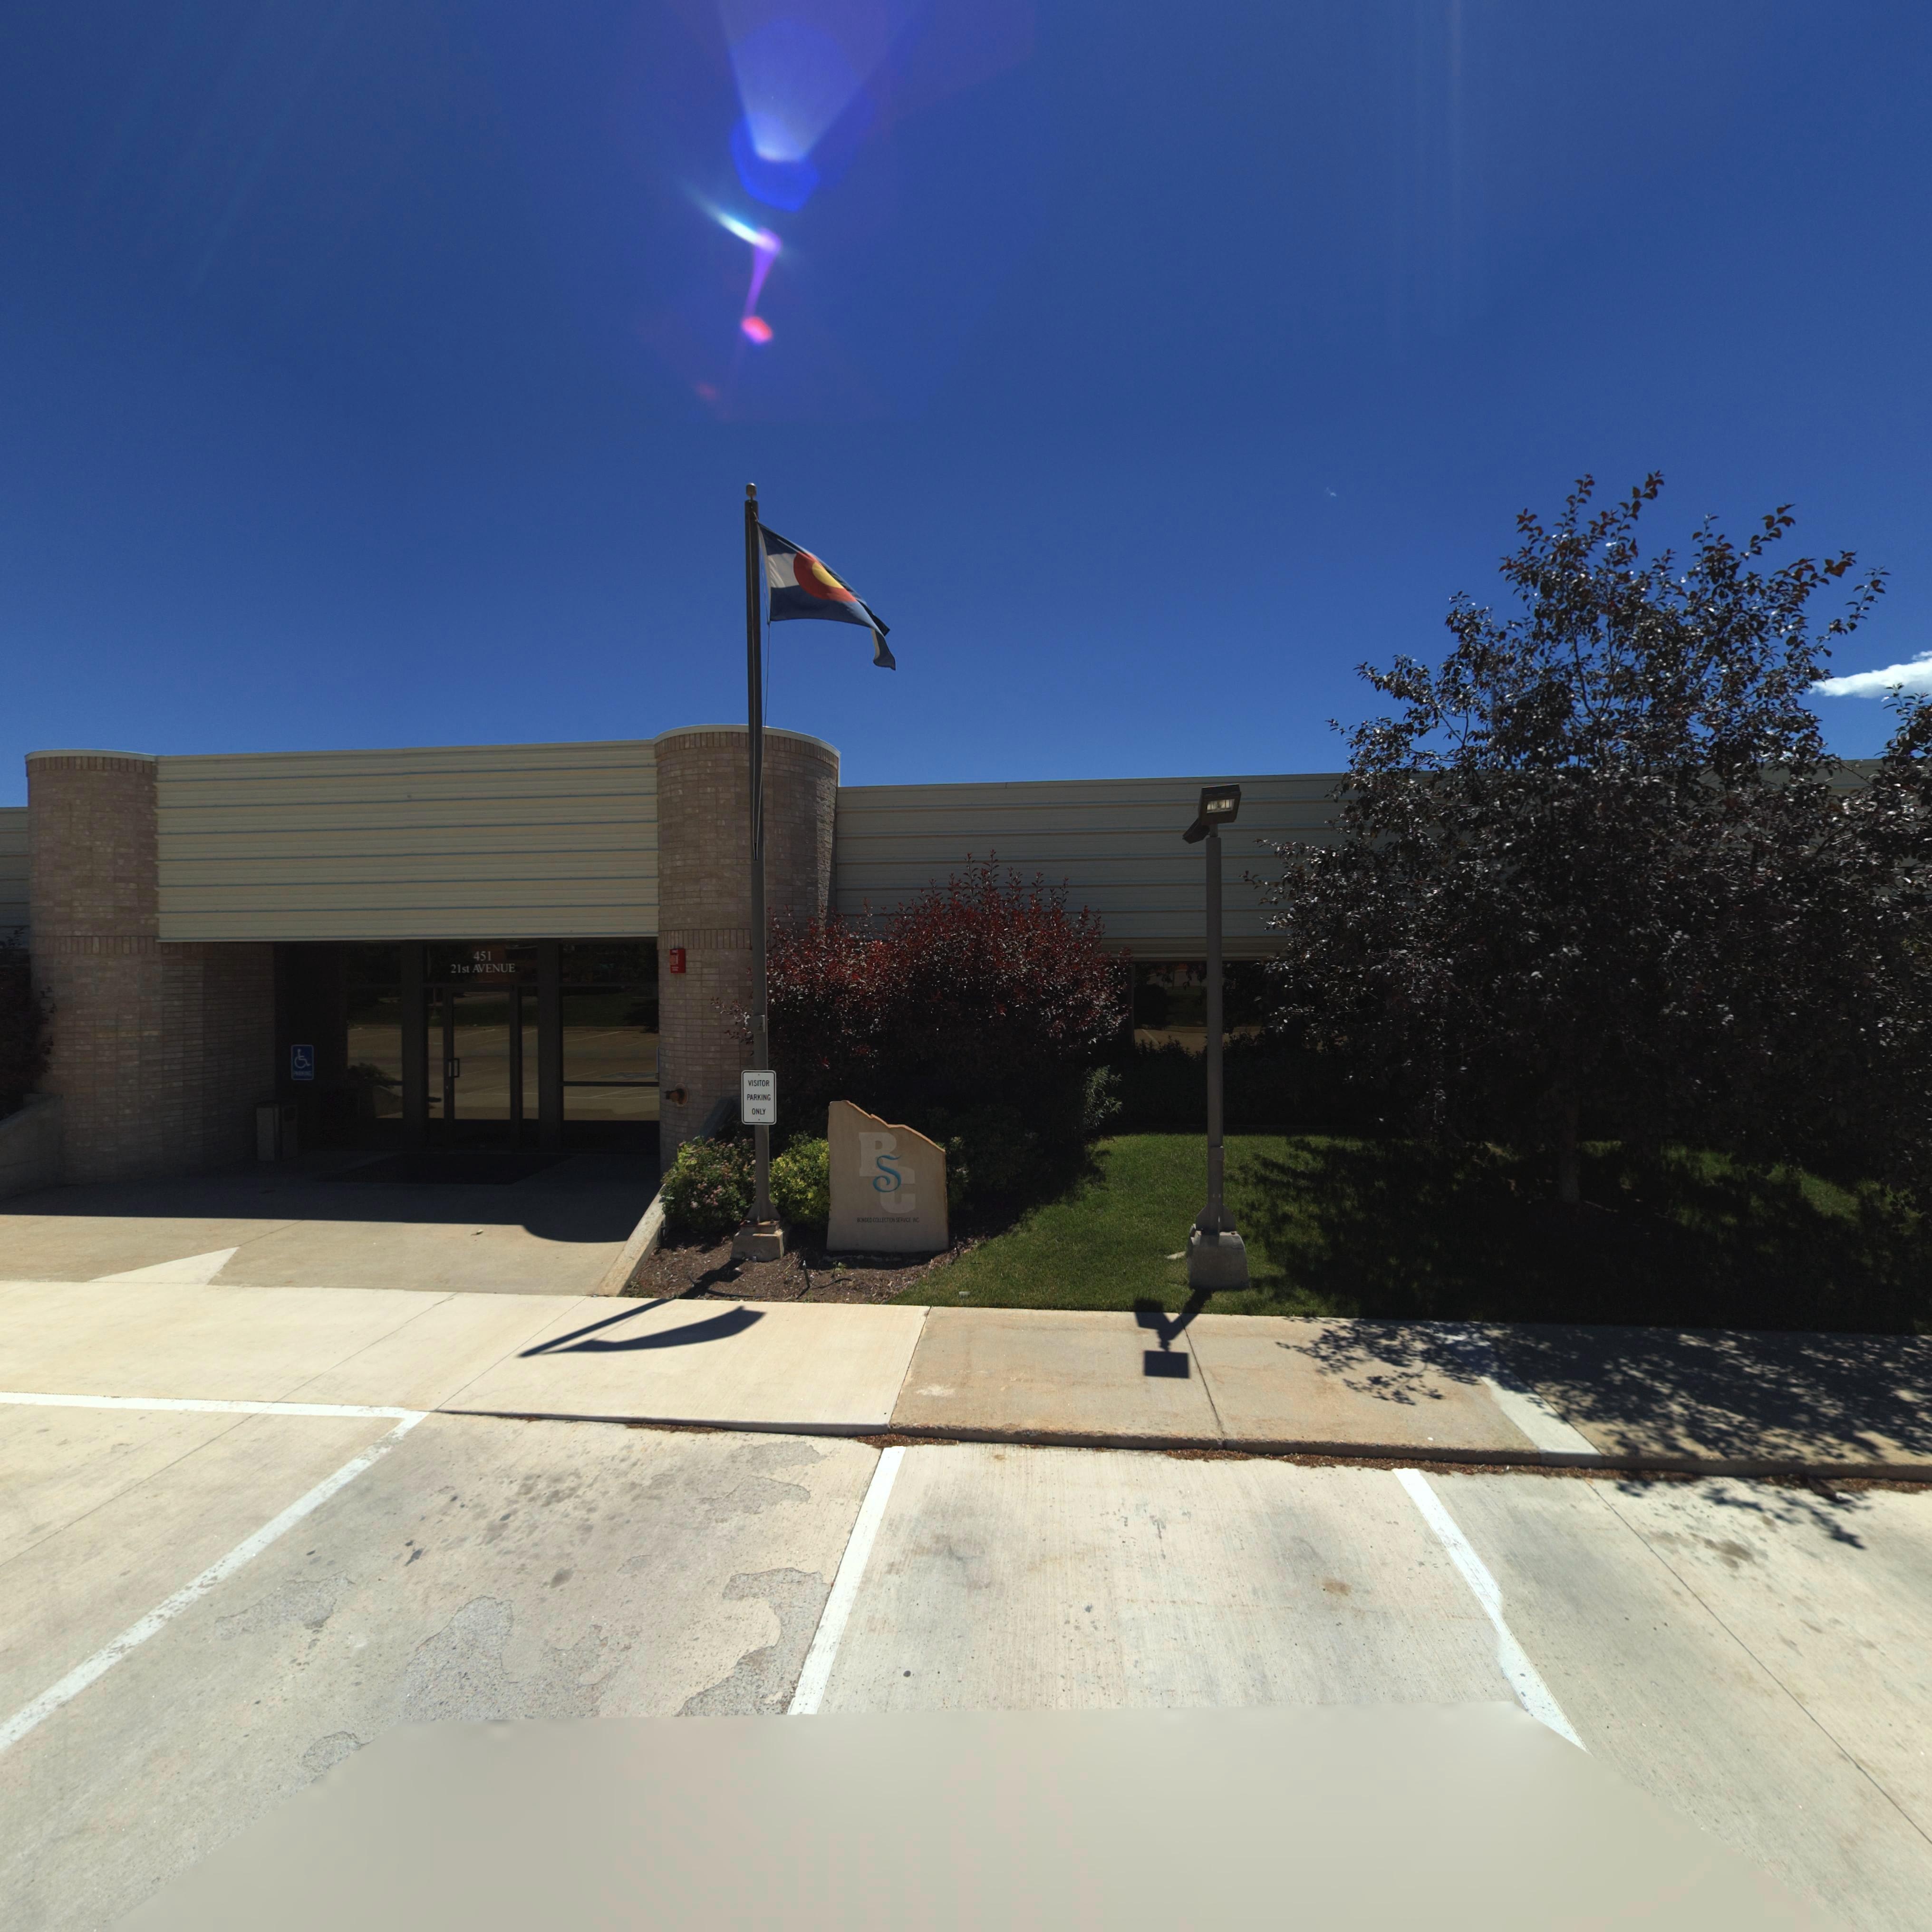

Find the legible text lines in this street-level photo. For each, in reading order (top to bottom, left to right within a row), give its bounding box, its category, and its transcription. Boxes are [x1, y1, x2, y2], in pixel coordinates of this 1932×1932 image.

[472, 950, 492, 961] StreetNumber: 451
[450, 963, 515, 974] StreetName: 21st AVENUE
[856, 1216, 919, 1223] BusinessName: BONDED COLLECTION SERVICE, INC.